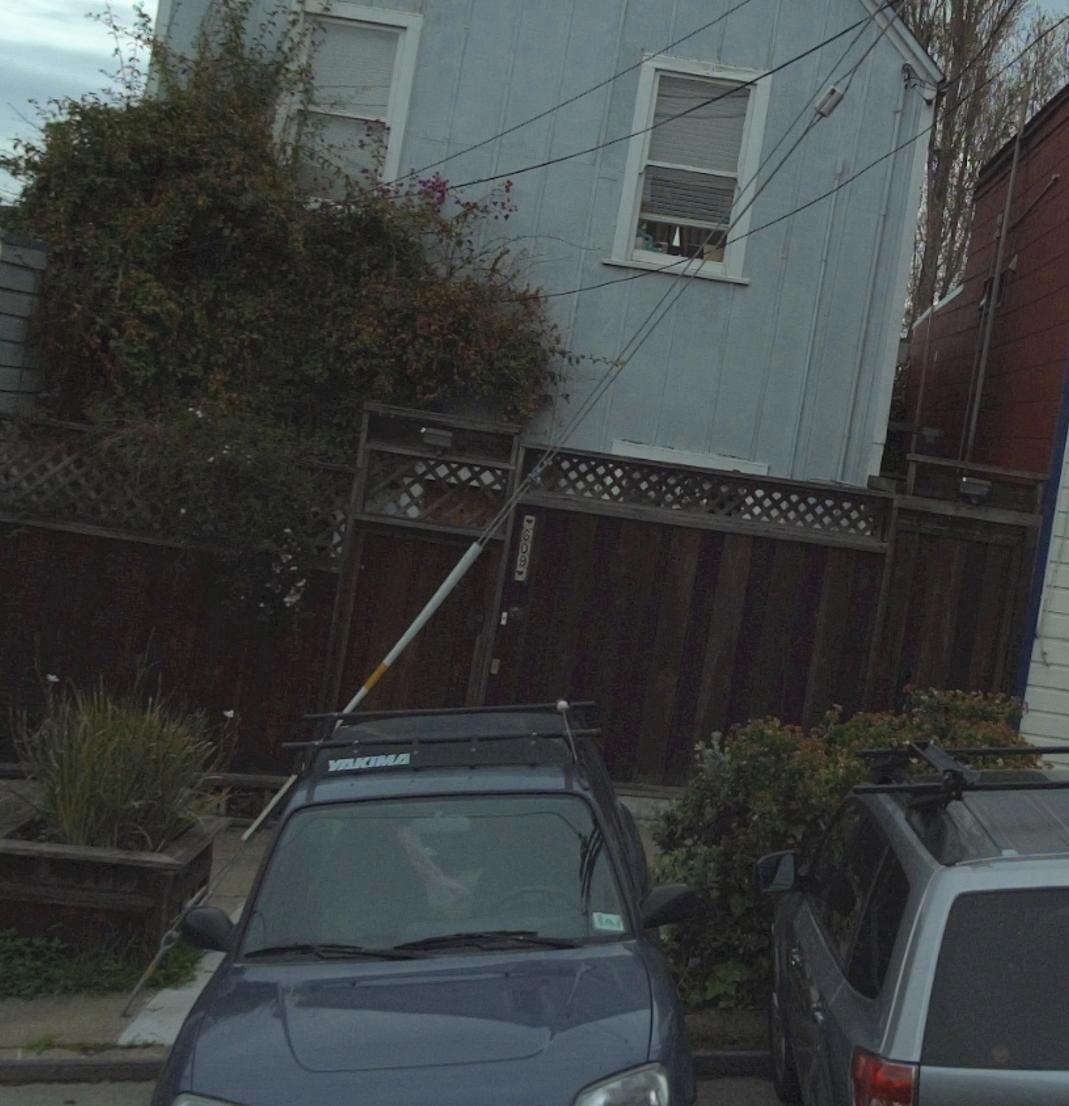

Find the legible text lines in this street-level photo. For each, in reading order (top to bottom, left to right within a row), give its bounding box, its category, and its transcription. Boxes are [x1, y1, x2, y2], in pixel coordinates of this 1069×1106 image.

[517, 528, 532, 570] StreetNumber: 609
[325, 751, 413, 772] None: YAKIMA